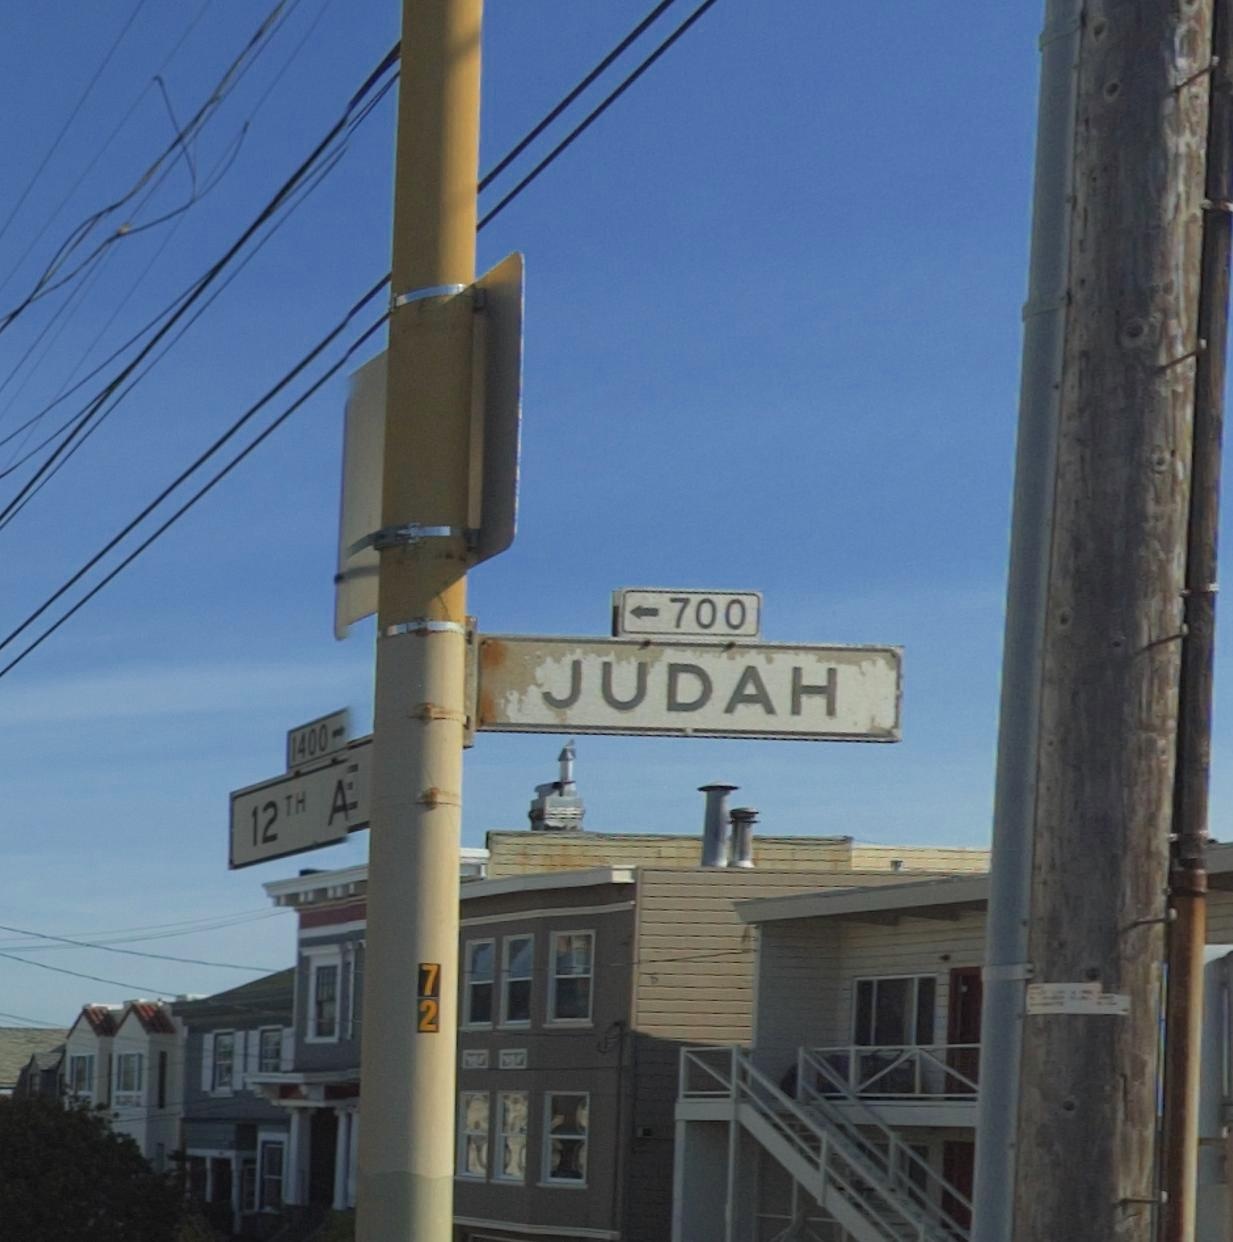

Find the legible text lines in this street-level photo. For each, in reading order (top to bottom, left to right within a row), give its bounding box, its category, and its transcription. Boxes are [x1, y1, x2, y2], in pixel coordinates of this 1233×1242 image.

[625, 592, 751, 631] StreetNumberRange: <-700
[541, 655, 839, 720] StreetName: JUDAH
[288, 713, 346, 766] StreetNumberRange: 1400->
[247, 779, 351, 850] StreetName: 12TH A
[418, 962, 443, 1035] None: 72